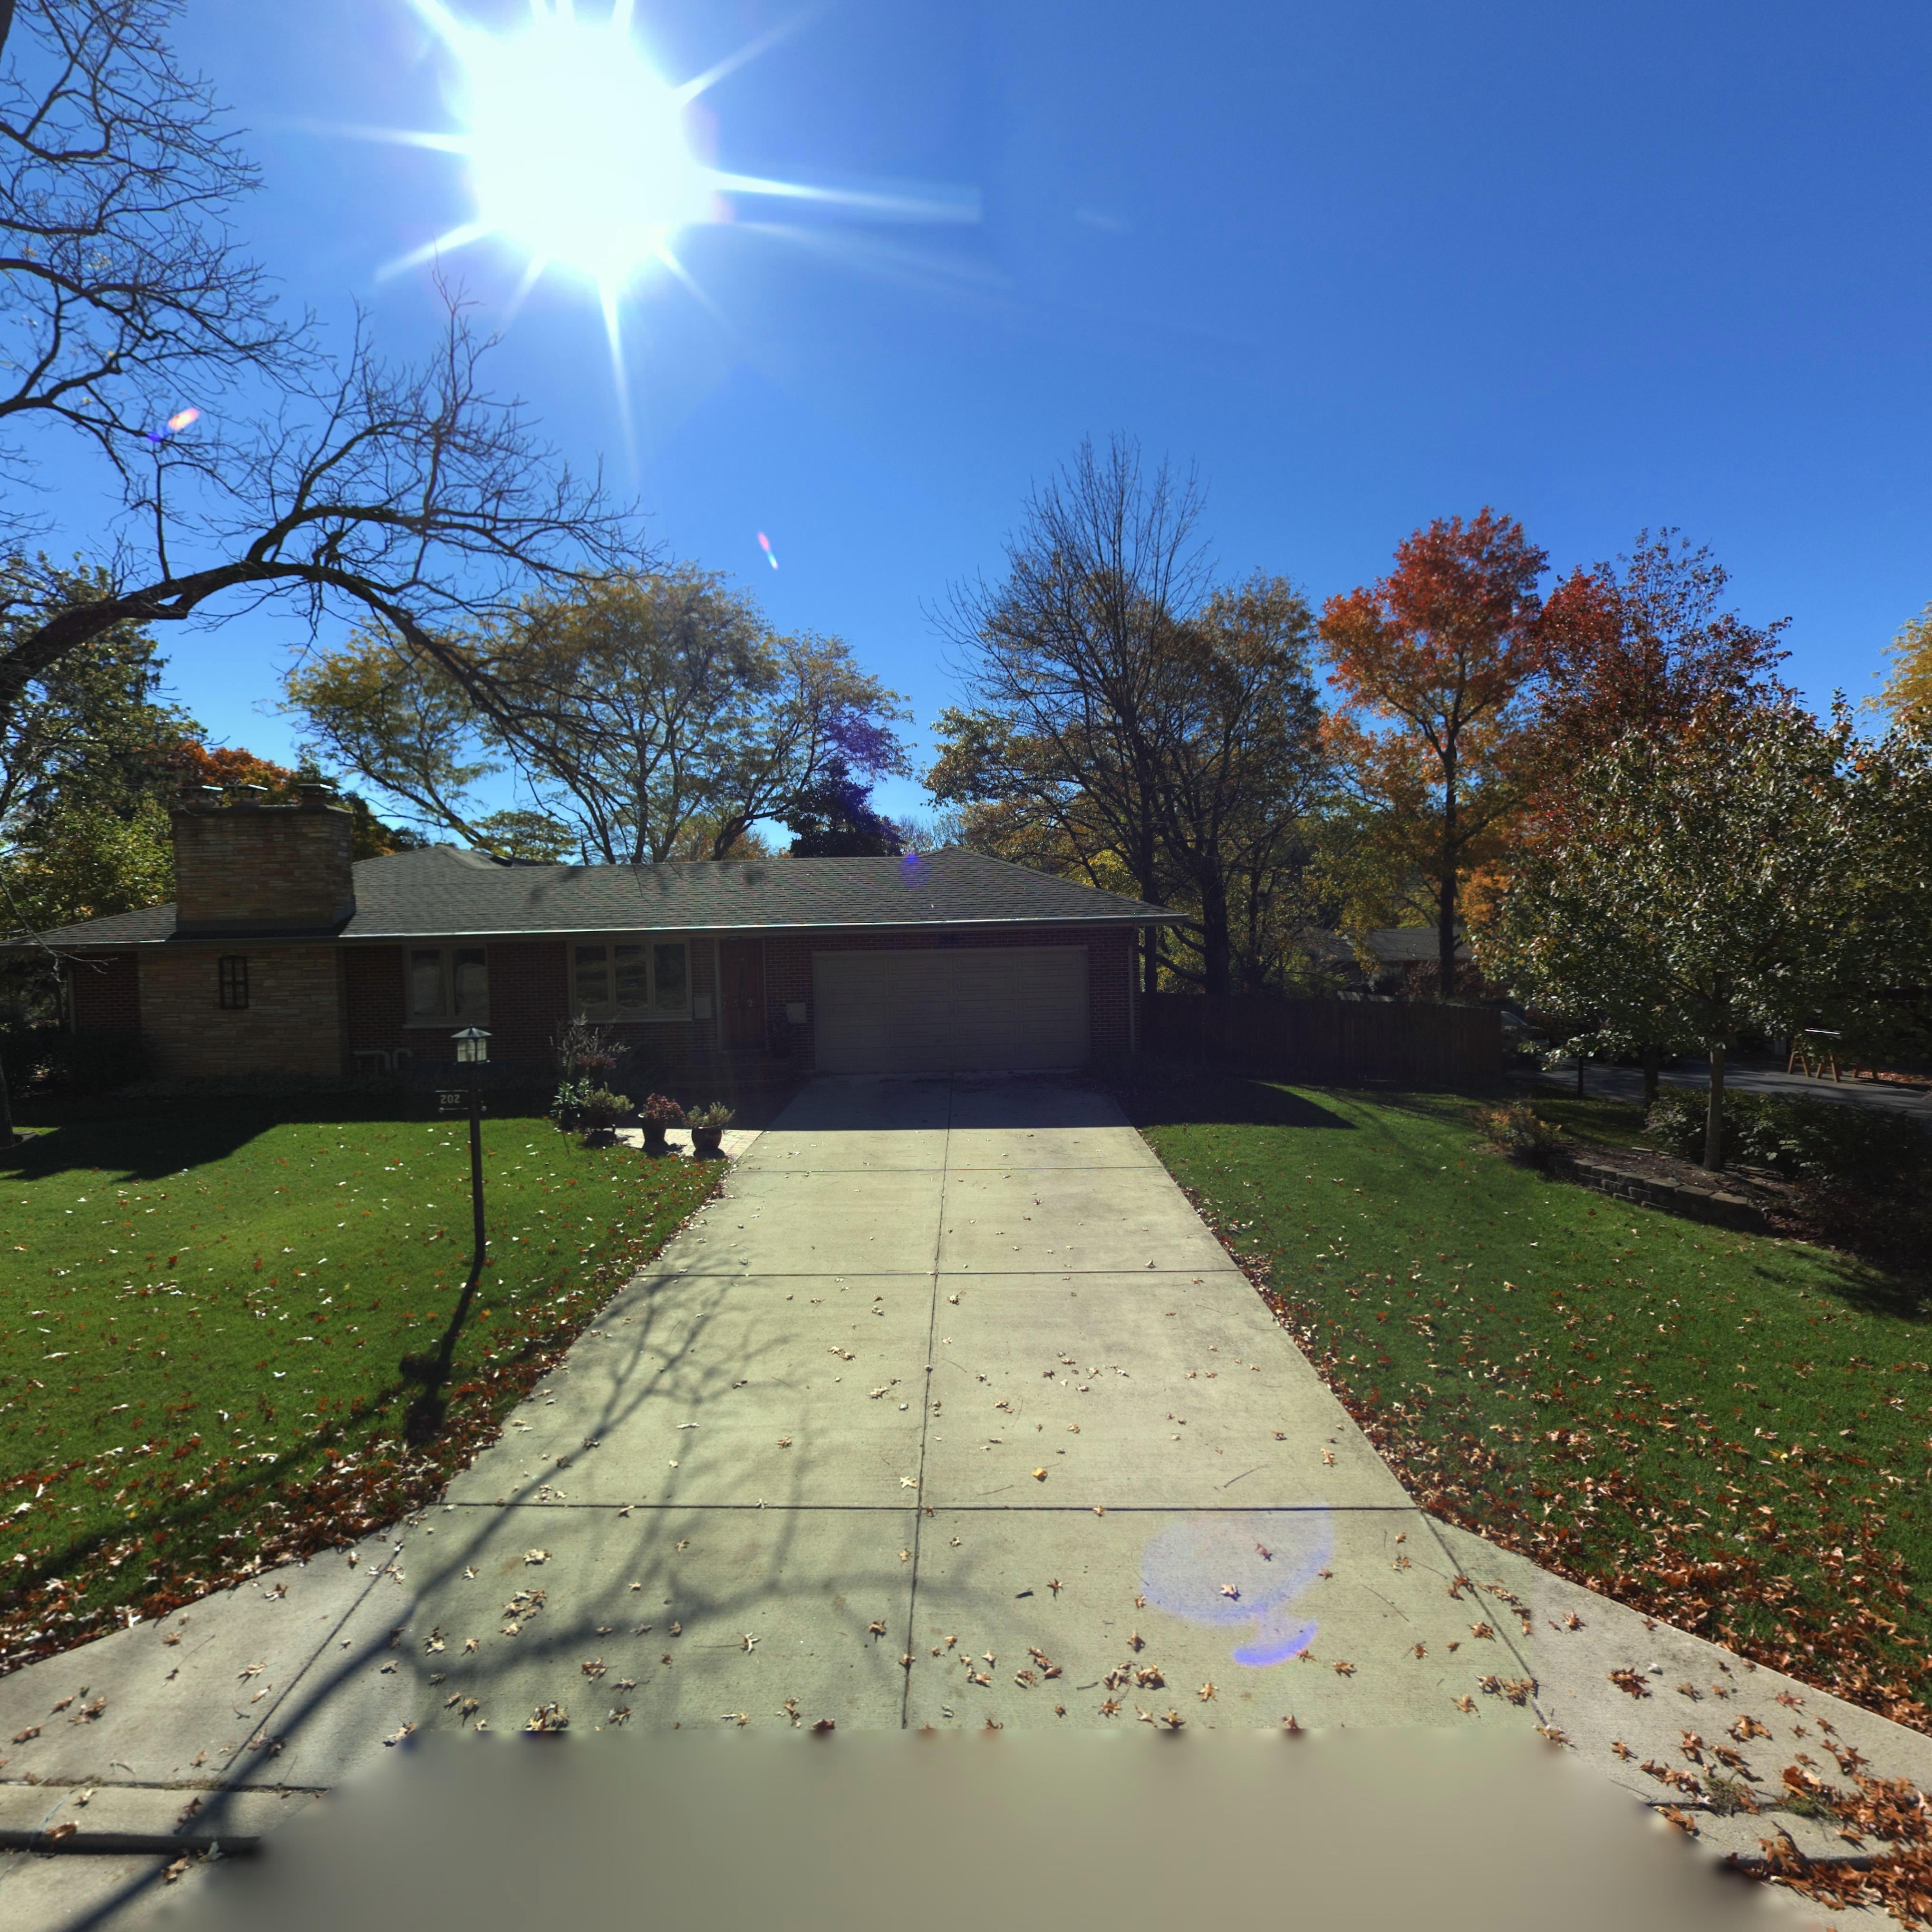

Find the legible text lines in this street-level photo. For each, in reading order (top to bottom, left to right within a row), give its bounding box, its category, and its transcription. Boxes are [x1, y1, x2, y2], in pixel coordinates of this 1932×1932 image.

[438, 1092, 462, 1105] StreetNumber: 202